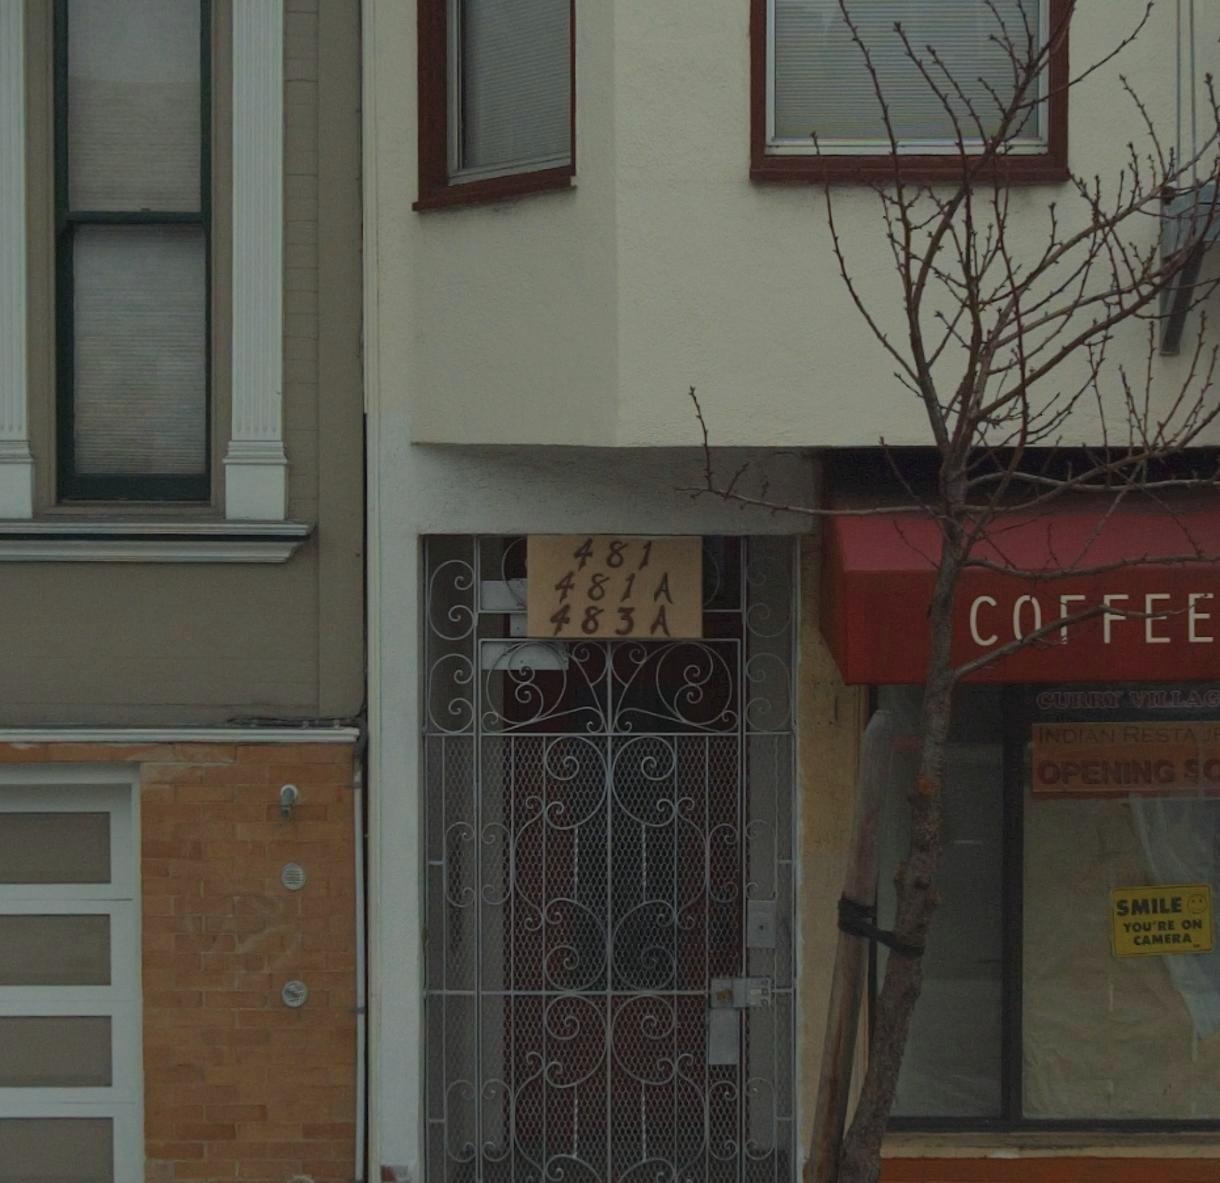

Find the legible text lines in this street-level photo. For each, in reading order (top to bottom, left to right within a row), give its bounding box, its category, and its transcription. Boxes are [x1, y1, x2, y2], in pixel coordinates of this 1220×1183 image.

[570, 536, 656, 574] StreetNumber: 481
[550, 568, 676, 606] StreetNumber: 481A
[547, 601, 673, 639] StreetNumber: 483A
[969, 591, 1216, 648] None: C****E
[1035, 688, 1207, 711] None: CURRY VILLA
[1037, 723, 1201, 745] None: INDIAN RESTA
[1035, 757, 1178, 788] None: OPENING
[1113, 895, 1185, 918] None: SMILE
[1120, 917, 1204, 934] None: YOU'RE ON
[1130, 931, 1195, 947] None: CAMERA